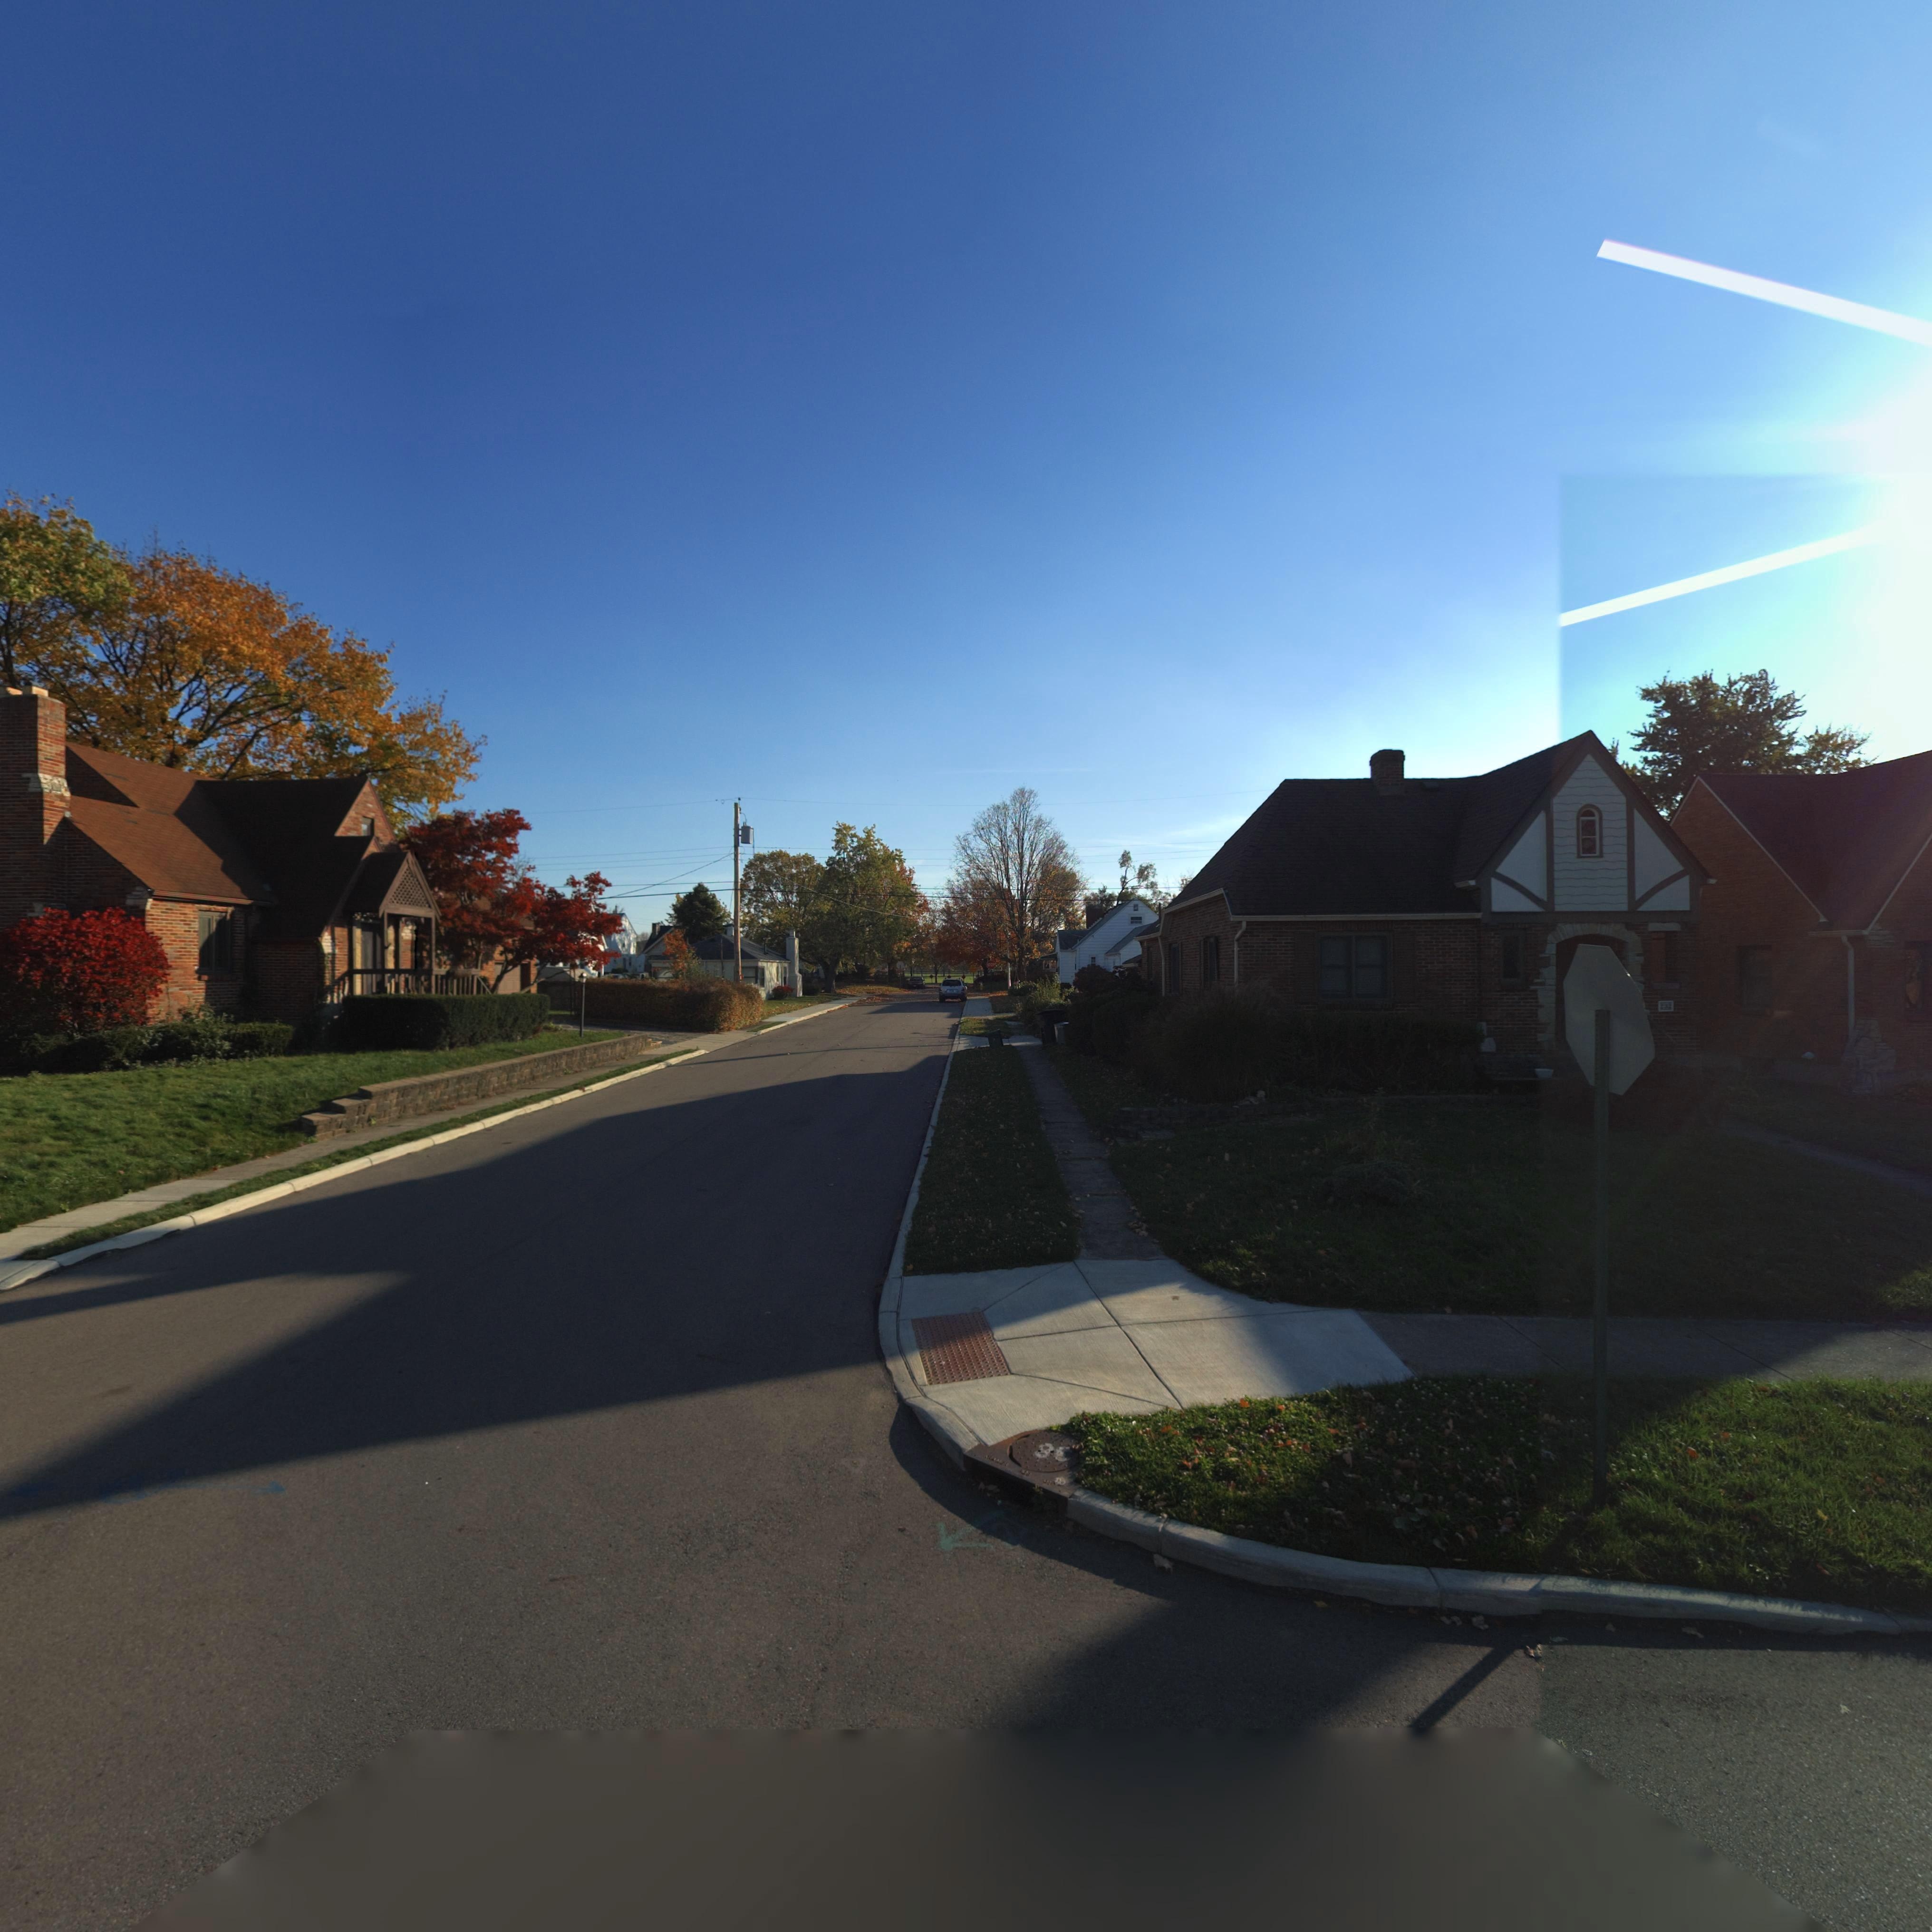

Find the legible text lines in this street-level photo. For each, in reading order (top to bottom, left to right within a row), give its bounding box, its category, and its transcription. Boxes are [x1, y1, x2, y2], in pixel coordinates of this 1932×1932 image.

[1659, 1004, 1672, 1009] StreetNumber: 232